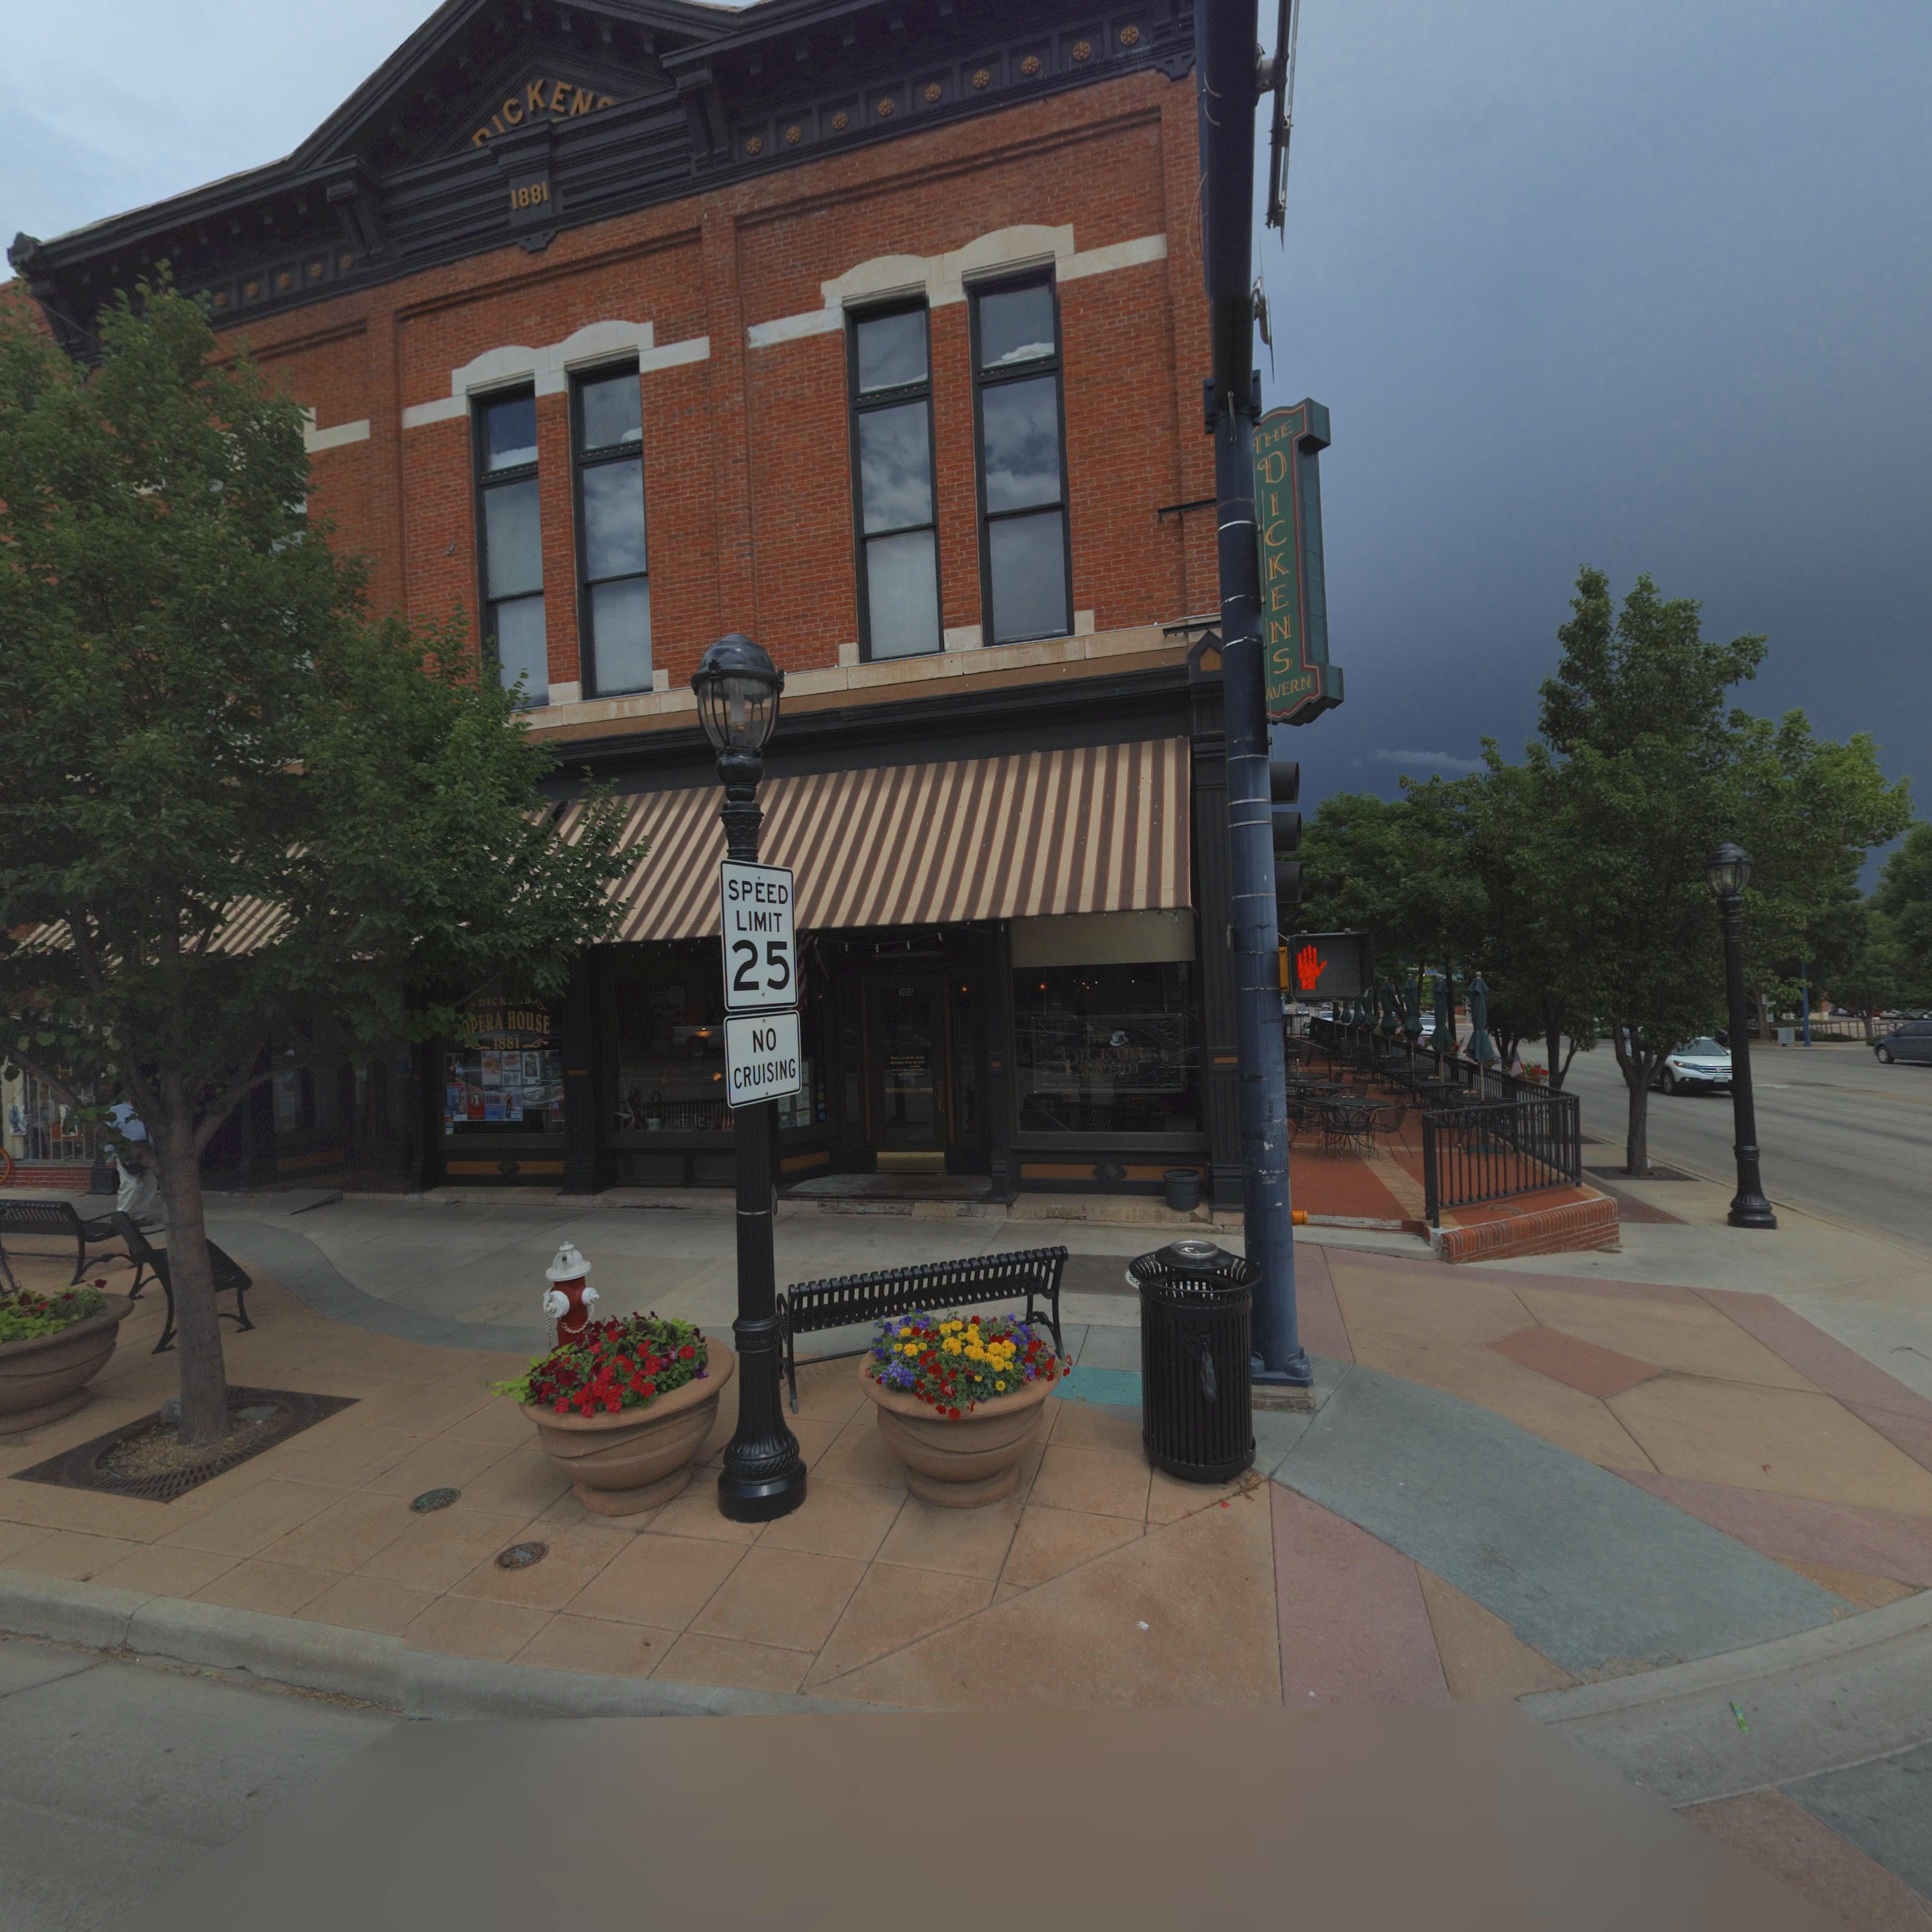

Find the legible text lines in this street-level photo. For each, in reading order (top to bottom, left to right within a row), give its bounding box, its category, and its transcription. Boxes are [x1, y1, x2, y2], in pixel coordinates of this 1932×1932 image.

[470, 77, 616, 151] BusinessName: *ICKEN*
[1251, 418, 1294, 454] BusinessName: THE
[1256, 447, 1293, 676] BusinessName: DICKENS
[1265, 674, 1312, 701] BusinessName: *AVERN
[478, 995, 531, 1007] BusinessName: DICK**S
[898, 988, 913, 995] StreetNumber: 300
[461, 1010, 550, 1038] BusinessName: OPERA HOUSE
[1082, 1031, 1108, 1045] BusinessName: THE
[1053, 1045, 1157, 1066] BusinessName: DICKENS
[1077, 1062, 1139, 1077] BusinessName: TAVERN